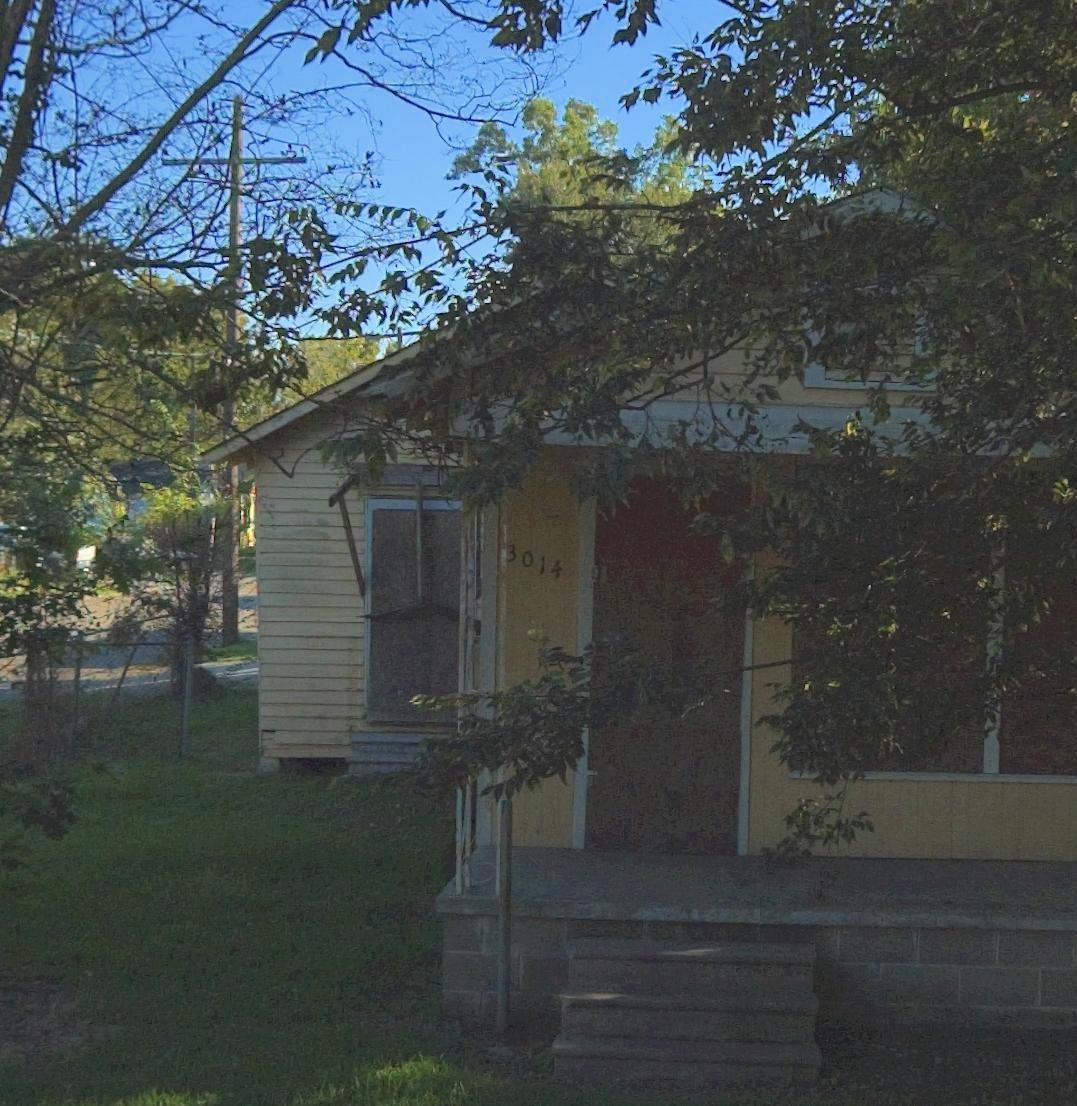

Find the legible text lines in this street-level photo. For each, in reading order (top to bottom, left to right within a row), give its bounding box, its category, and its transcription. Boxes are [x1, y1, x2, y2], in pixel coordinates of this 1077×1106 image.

[503, 542, 566, 584] StreetNumber: 3014